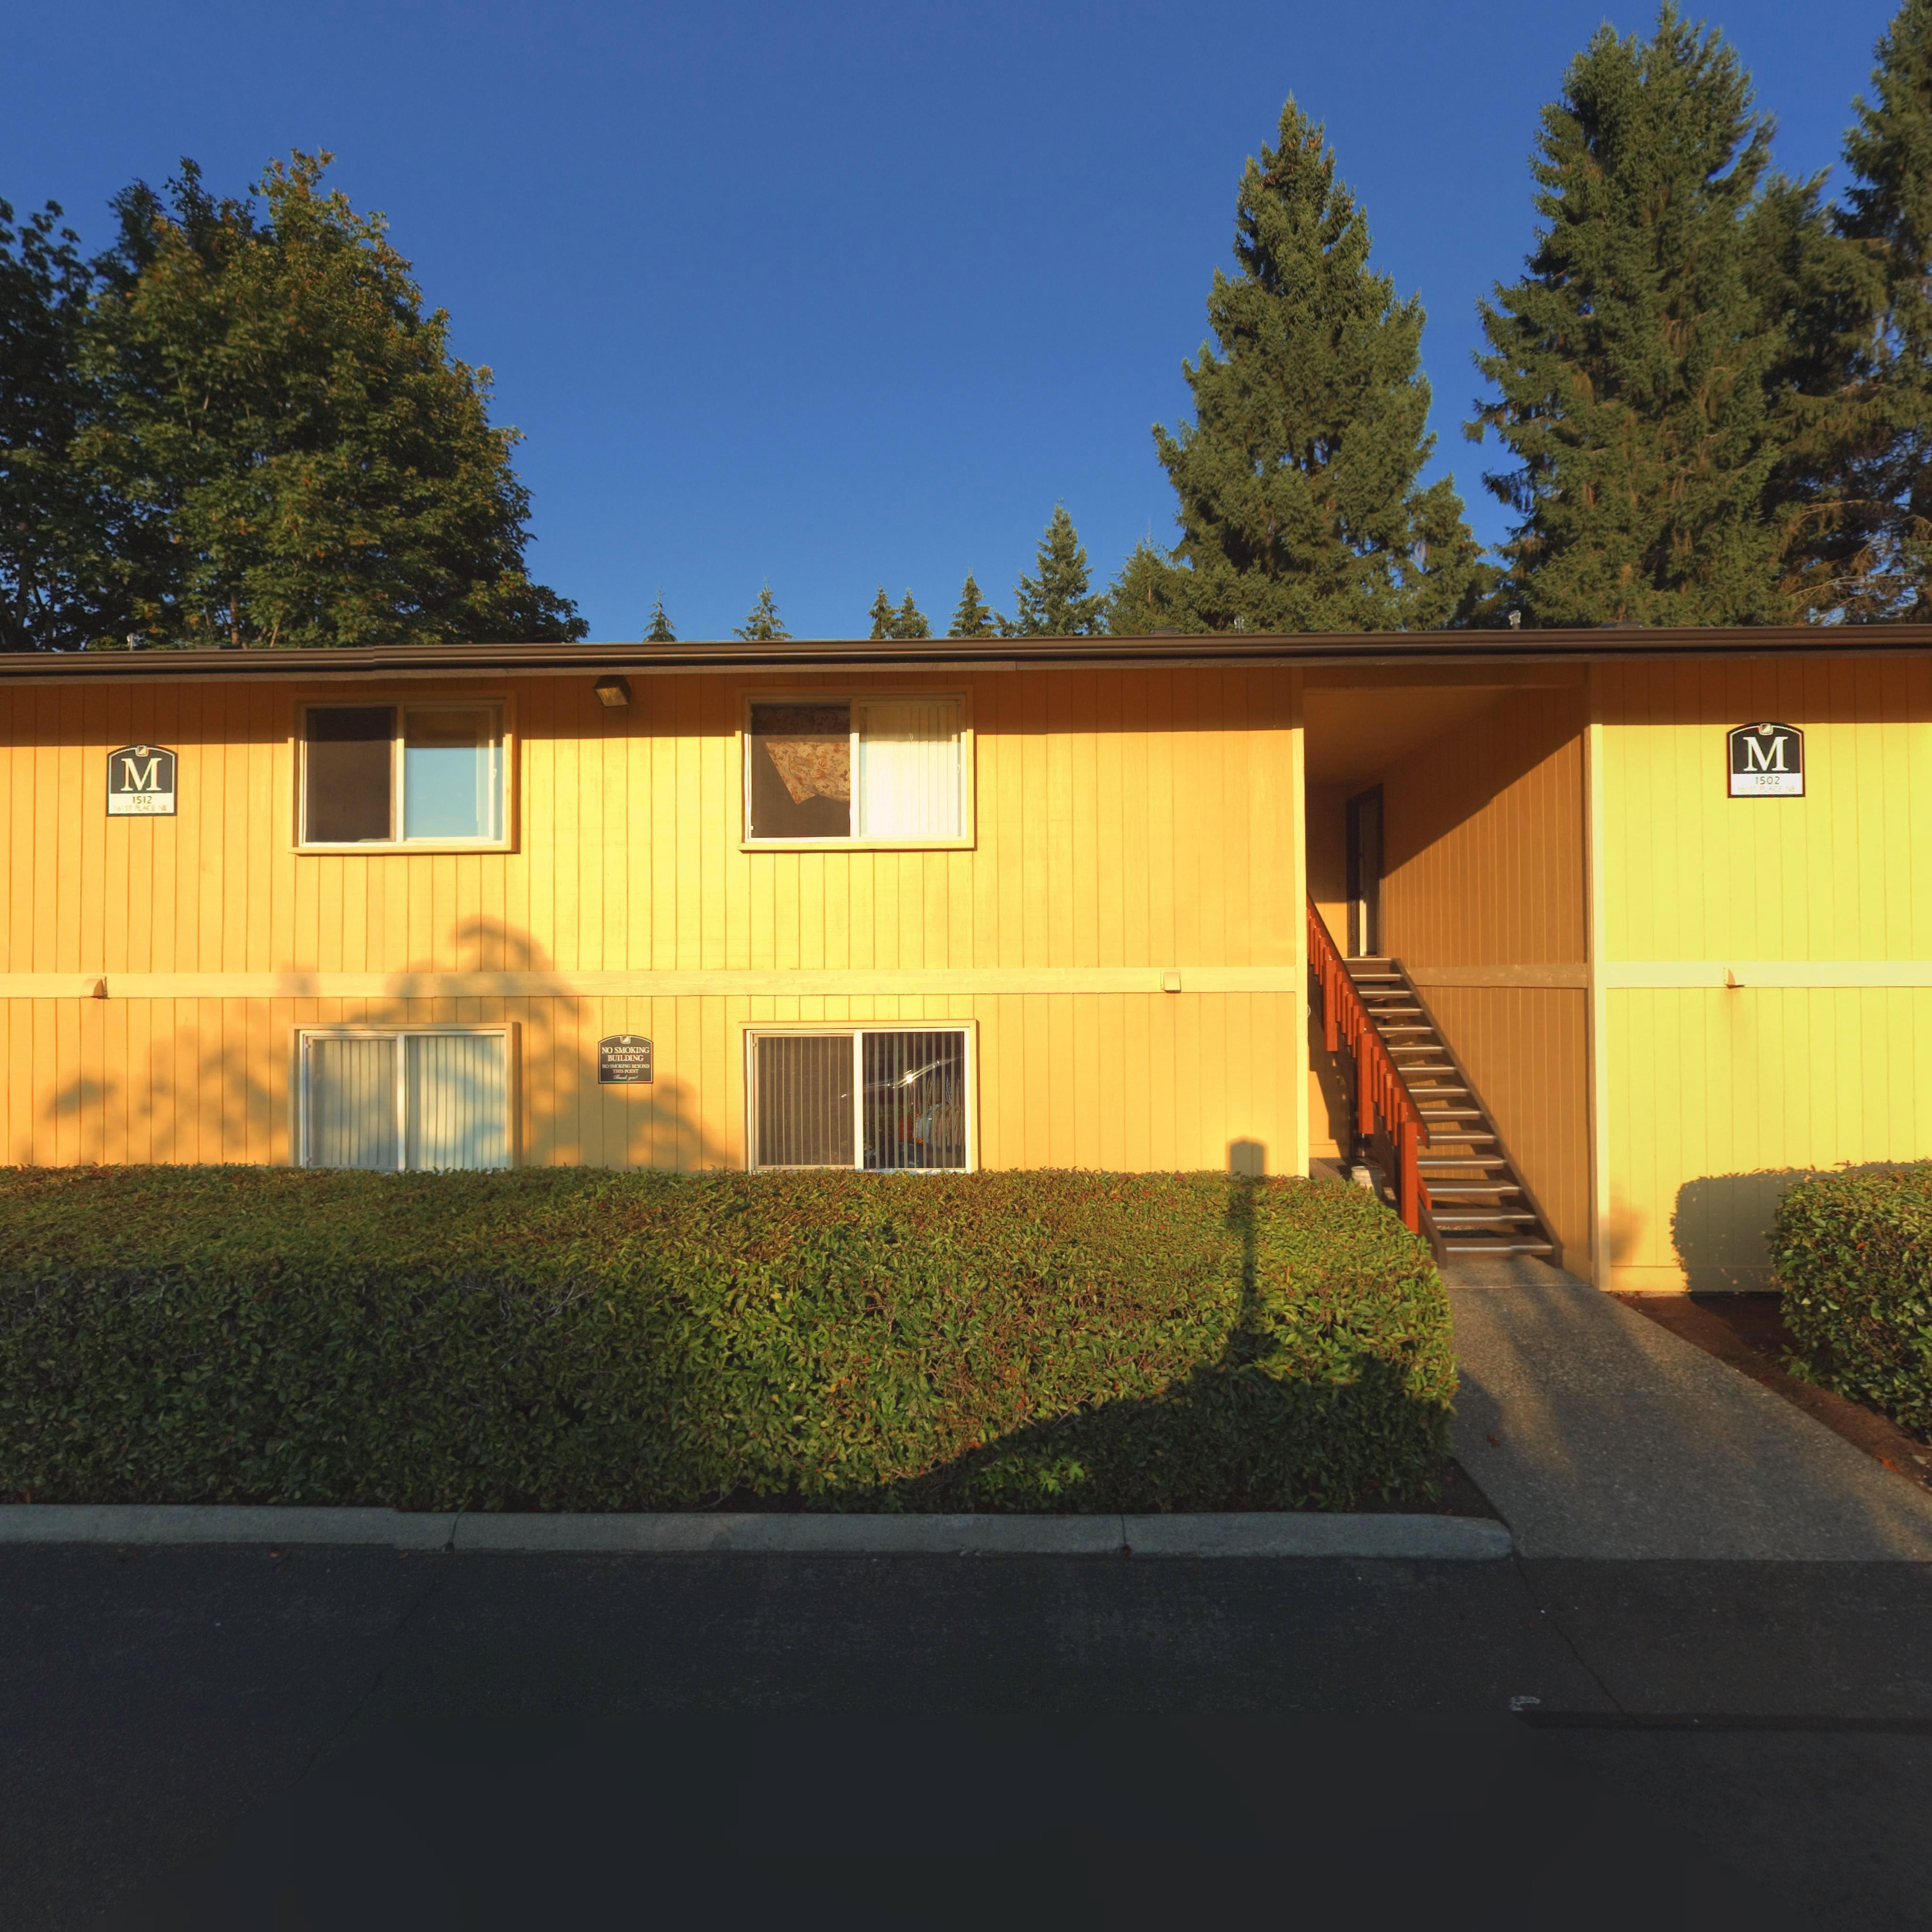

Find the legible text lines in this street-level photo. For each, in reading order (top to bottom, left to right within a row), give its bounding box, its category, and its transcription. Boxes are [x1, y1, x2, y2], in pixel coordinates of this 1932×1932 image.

[1753, 775, 1780, 785] StreetNumber: 1502
[131, 793, 154, 804] StreetNumber: 1512
[134, 803, 168, 811] StreetName: PLACE NE